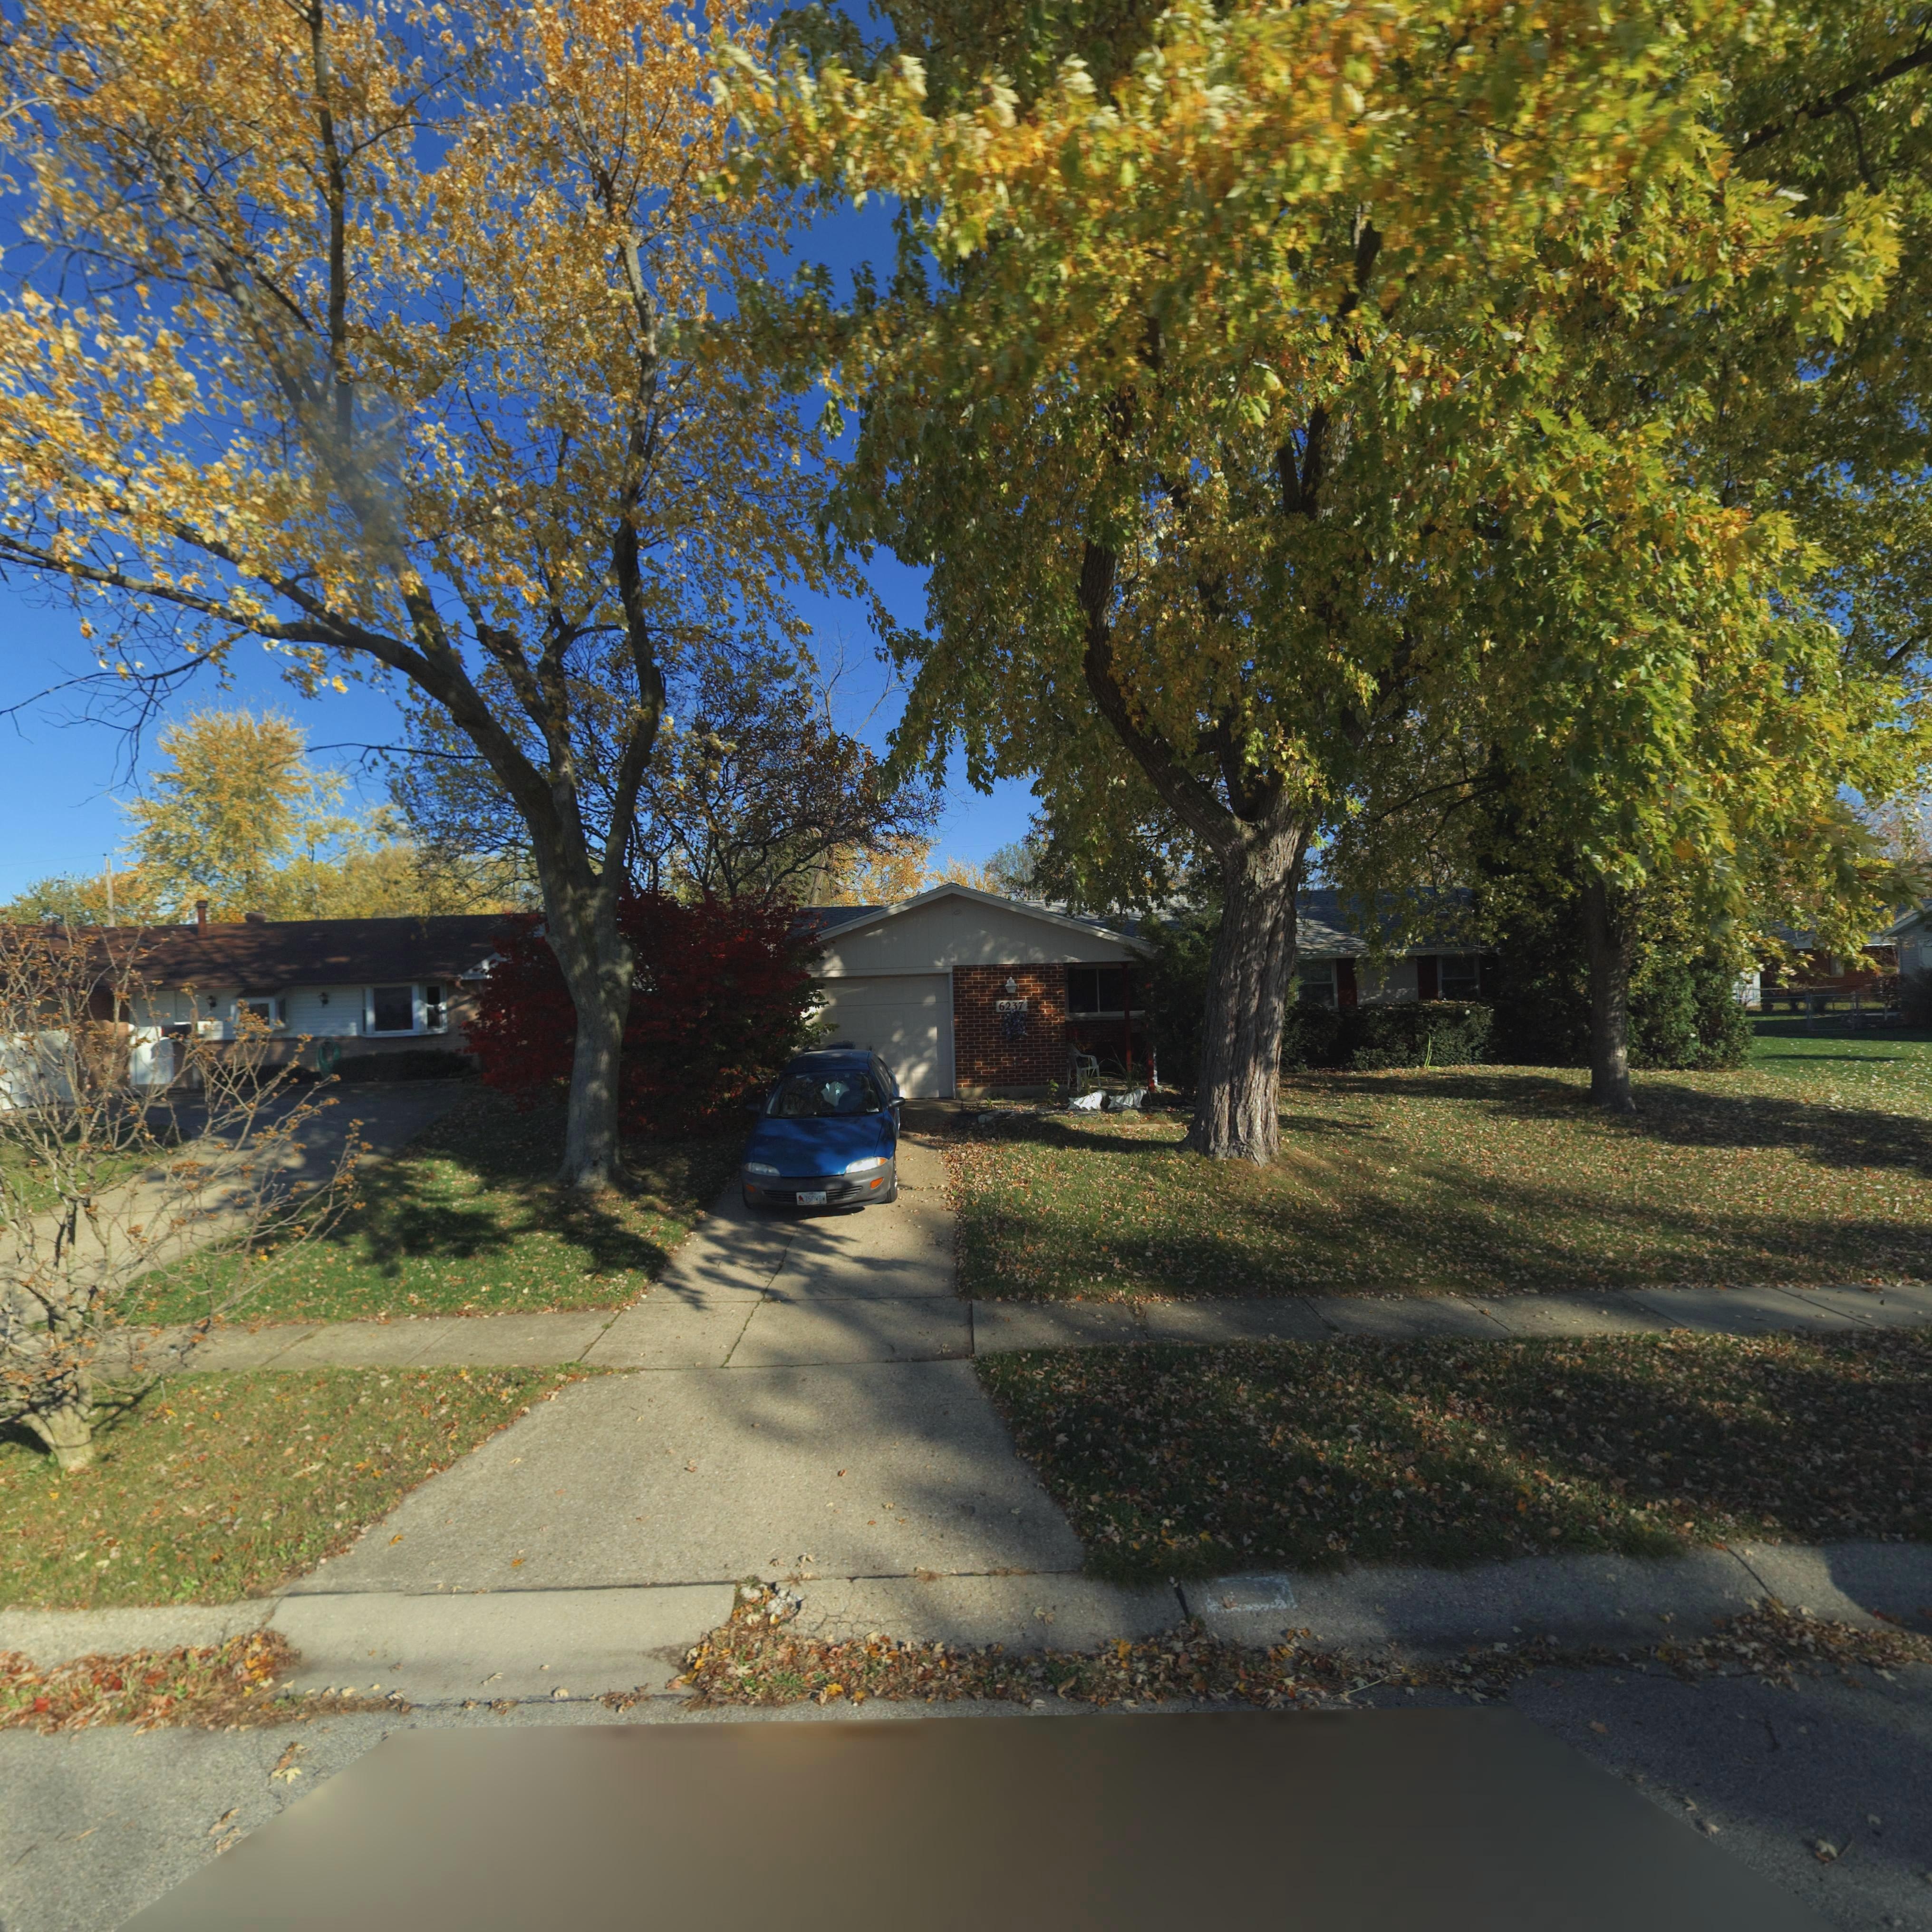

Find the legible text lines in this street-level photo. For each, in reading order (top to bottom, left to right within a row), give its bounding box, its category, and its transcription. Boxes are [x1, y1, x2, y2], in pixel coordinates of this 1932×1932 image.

[998, 1002, 1024, 1011] StreetNumber: 6237